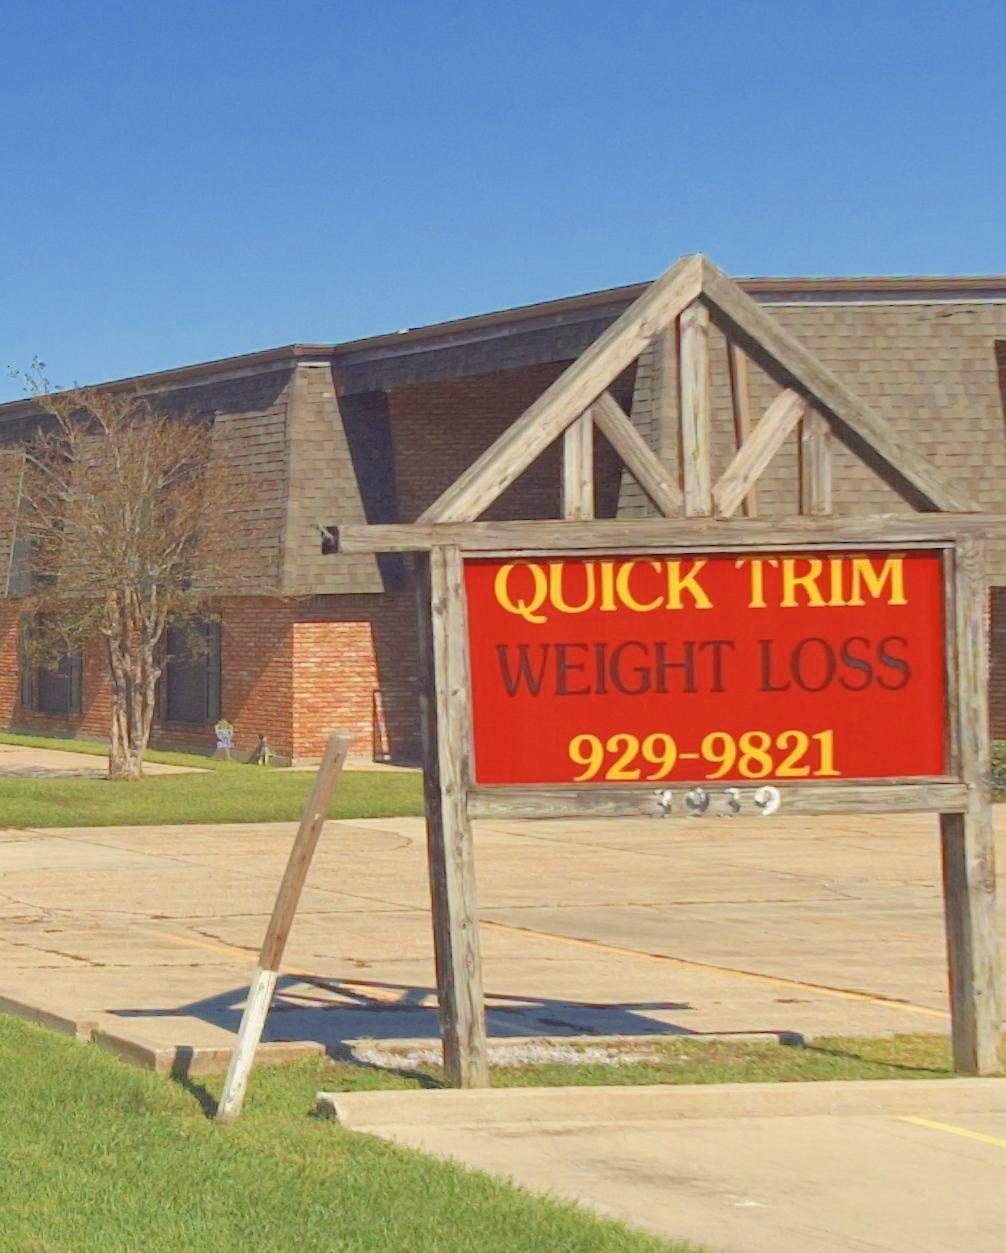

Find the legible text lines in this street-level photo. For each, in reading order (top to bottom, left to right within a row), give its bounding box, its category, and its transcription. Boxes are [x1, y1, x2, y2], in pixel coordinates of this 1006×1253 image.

[491, 547, 913, 627] BusinessName: QUICK TRIM
[487, 631, 918, 703] BusinessName: WEIGHT LOSS
[562, 725, 844, 785] None: 929-9821